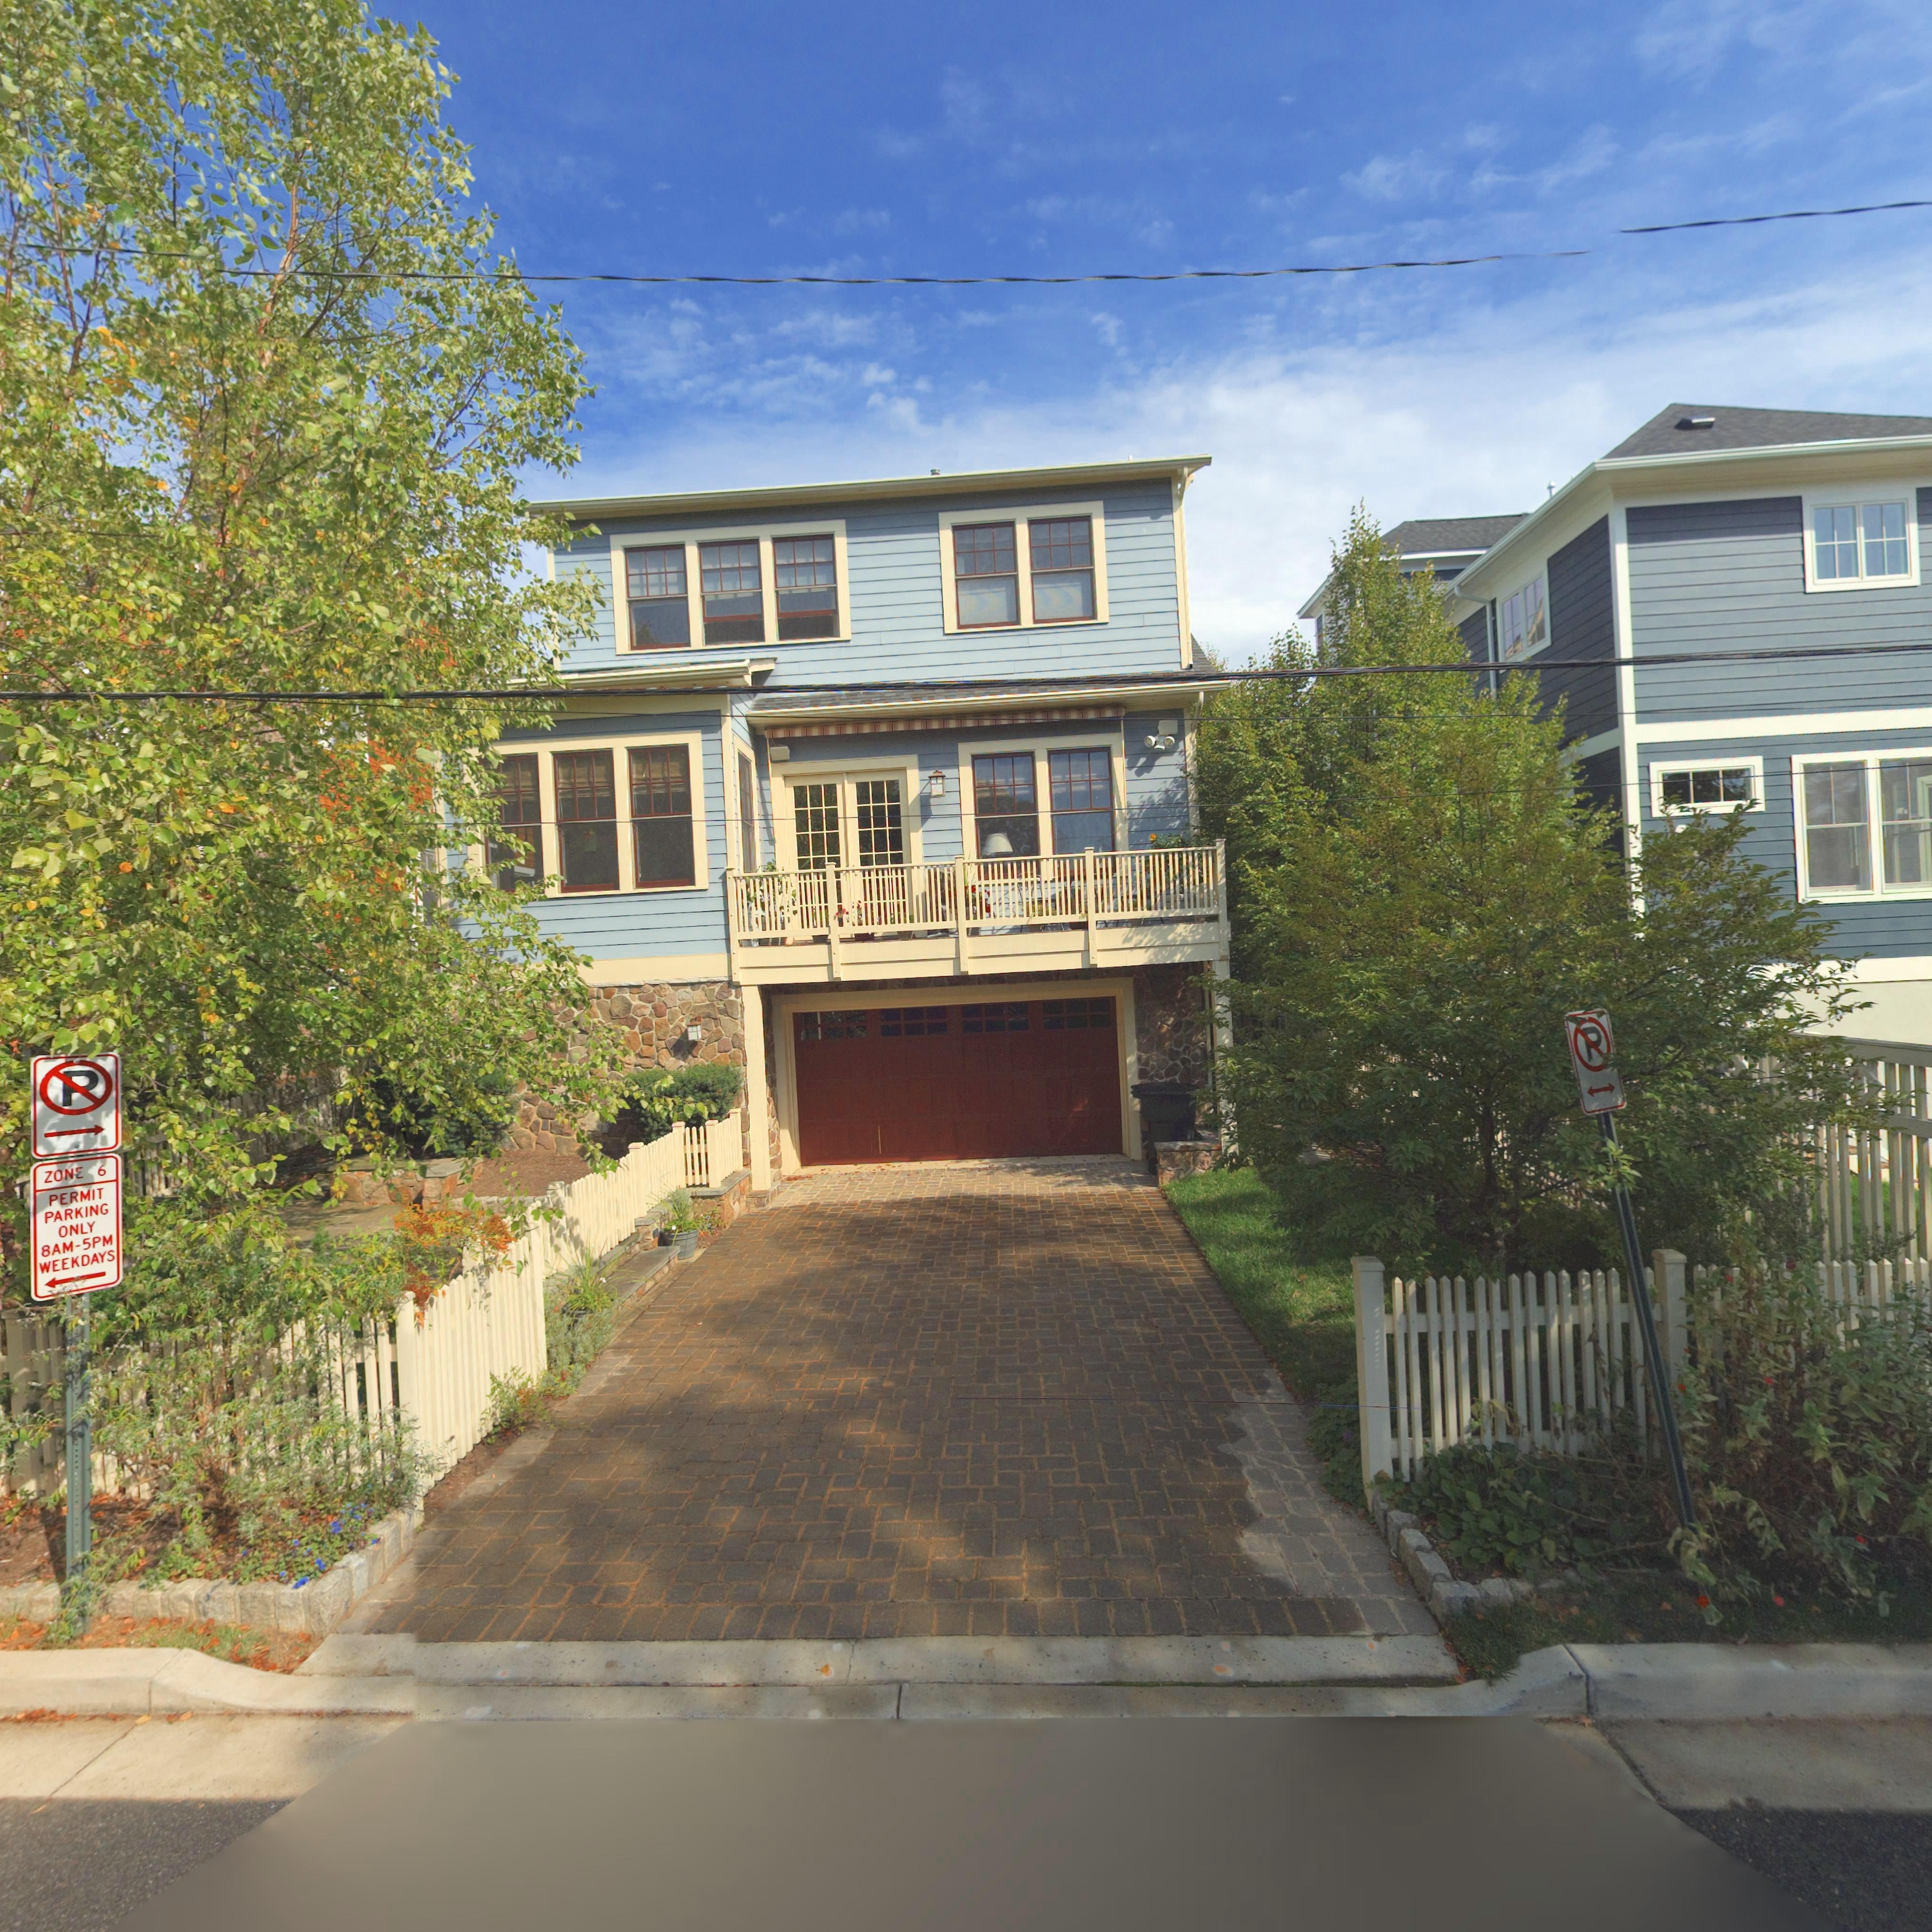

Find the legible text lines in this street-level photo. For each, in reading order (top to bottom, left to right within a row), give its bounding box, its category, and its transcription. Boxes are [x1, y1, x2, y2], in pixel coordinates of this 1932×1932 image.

[42, 1163, 109, 1185] None: ZON* 6
[48, 1186, 105, 1207] None: PERMIT
[44, 1201, 110, 1225] None: PARKING
[57, 1219, 97, 1239] None: ONLY
[39, 1232, 113, 1259] None: 8AM-5PM
[36, 1247, 116, 1276] None: WEEKDAYS